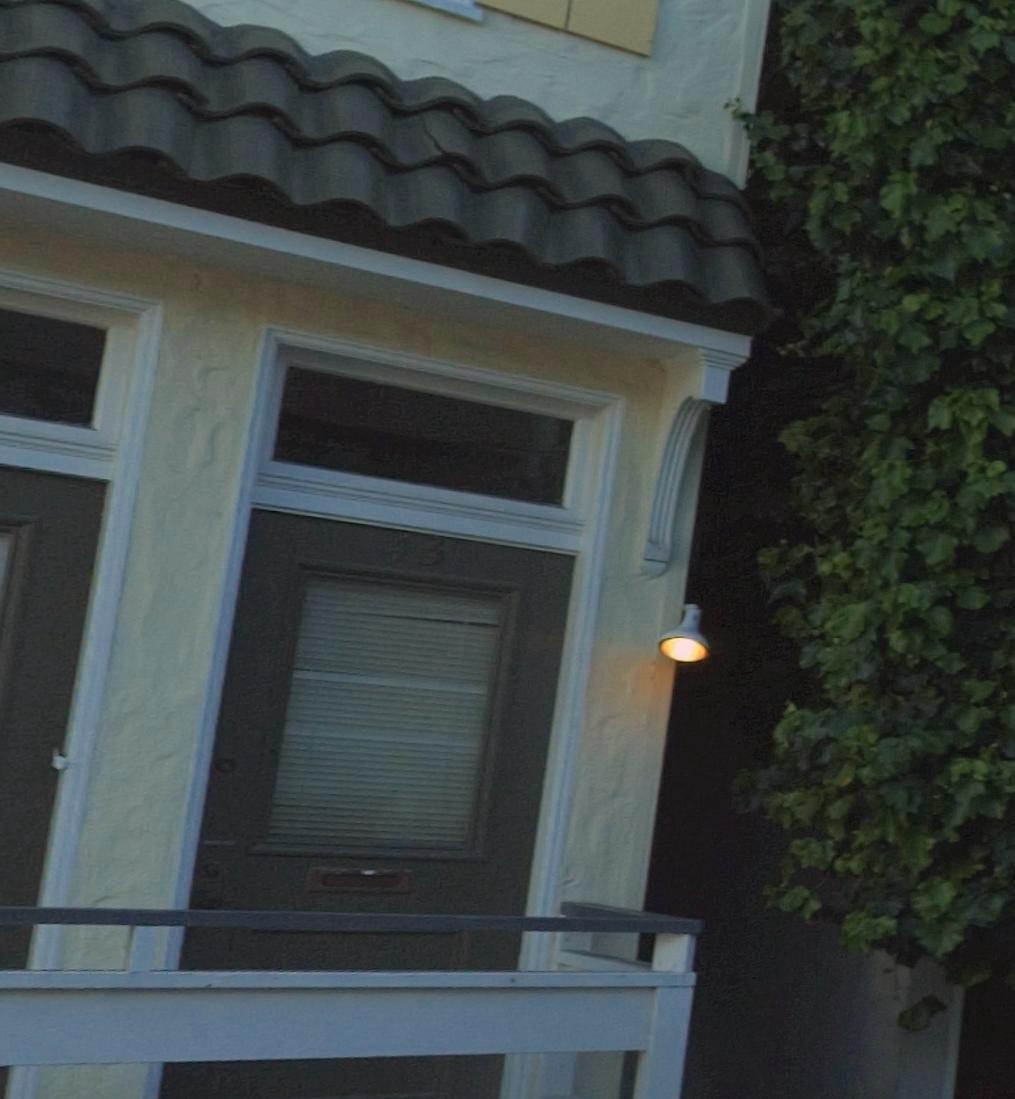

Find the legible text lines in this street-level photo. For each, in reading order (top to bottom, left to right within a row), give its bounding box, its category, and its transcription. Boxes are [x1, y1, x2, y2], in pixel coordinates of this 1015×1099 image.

[377, 523, 451, 576] StreetNumber: 43